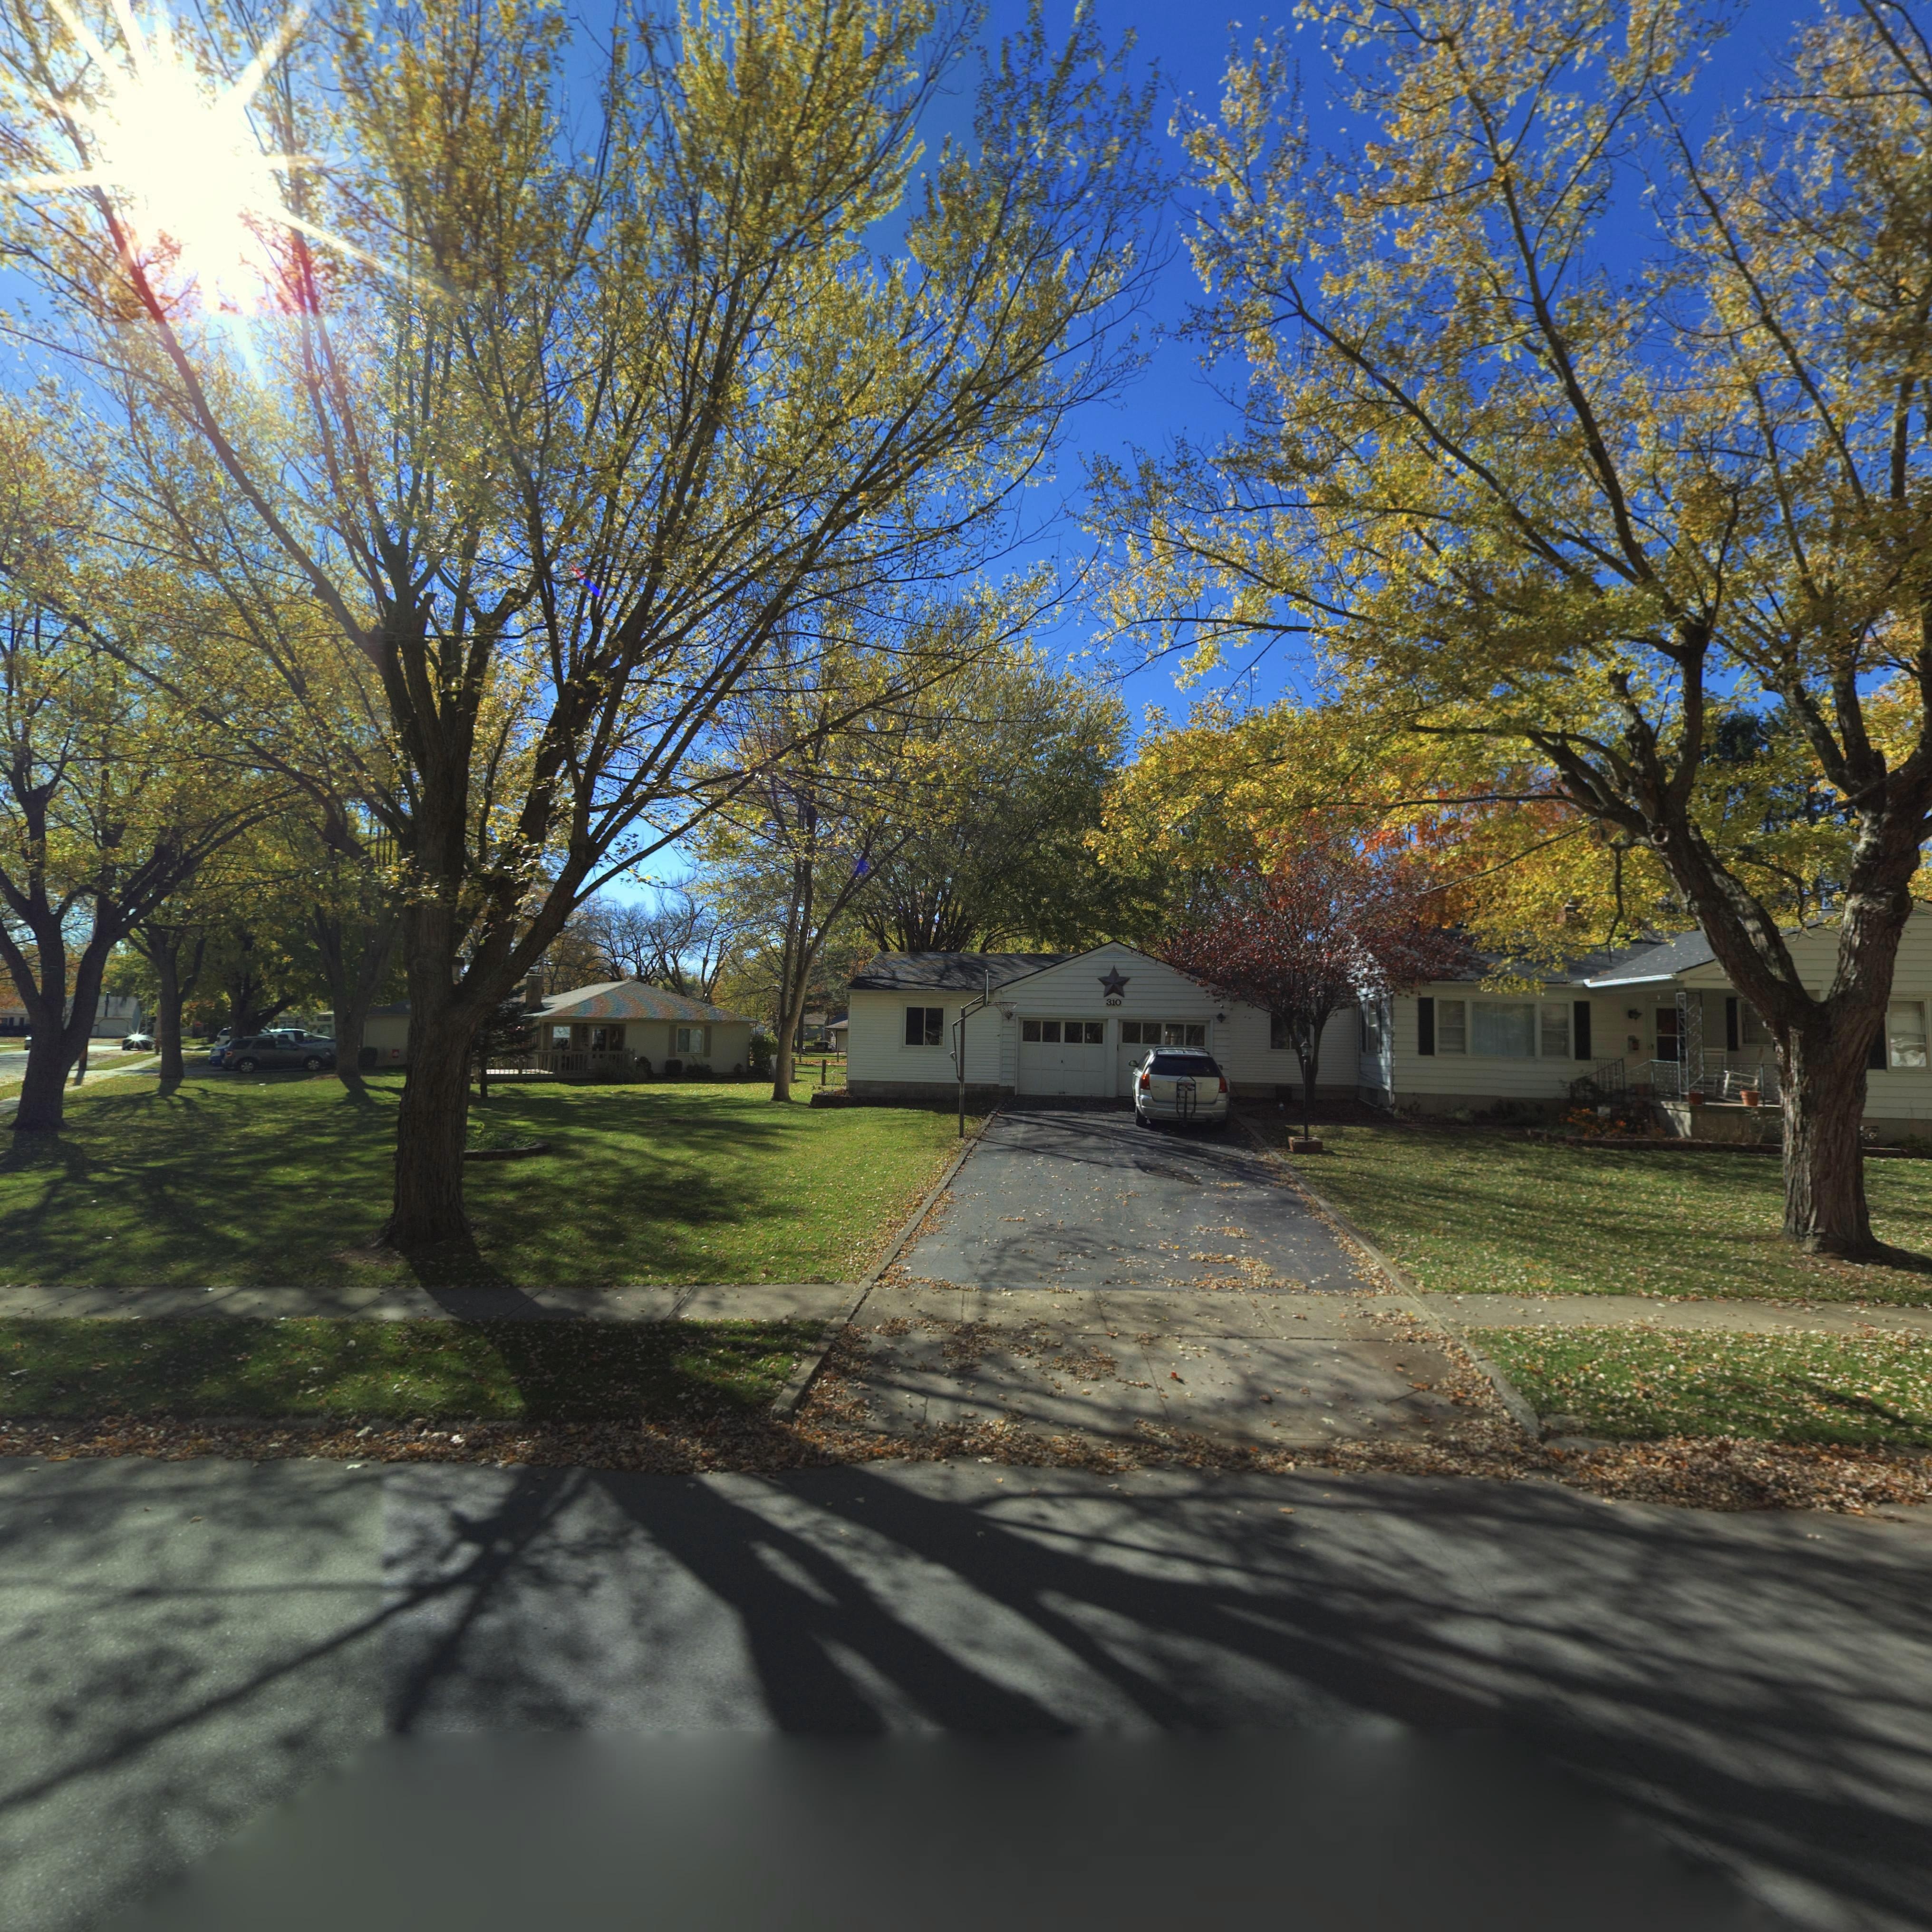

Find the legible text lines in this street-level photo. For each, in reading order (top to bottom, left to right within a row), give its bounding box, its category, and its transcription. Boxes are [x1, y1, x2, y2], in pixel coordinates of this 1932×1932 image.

[1106, 998, 1122, 1006] StreetNumber: 310